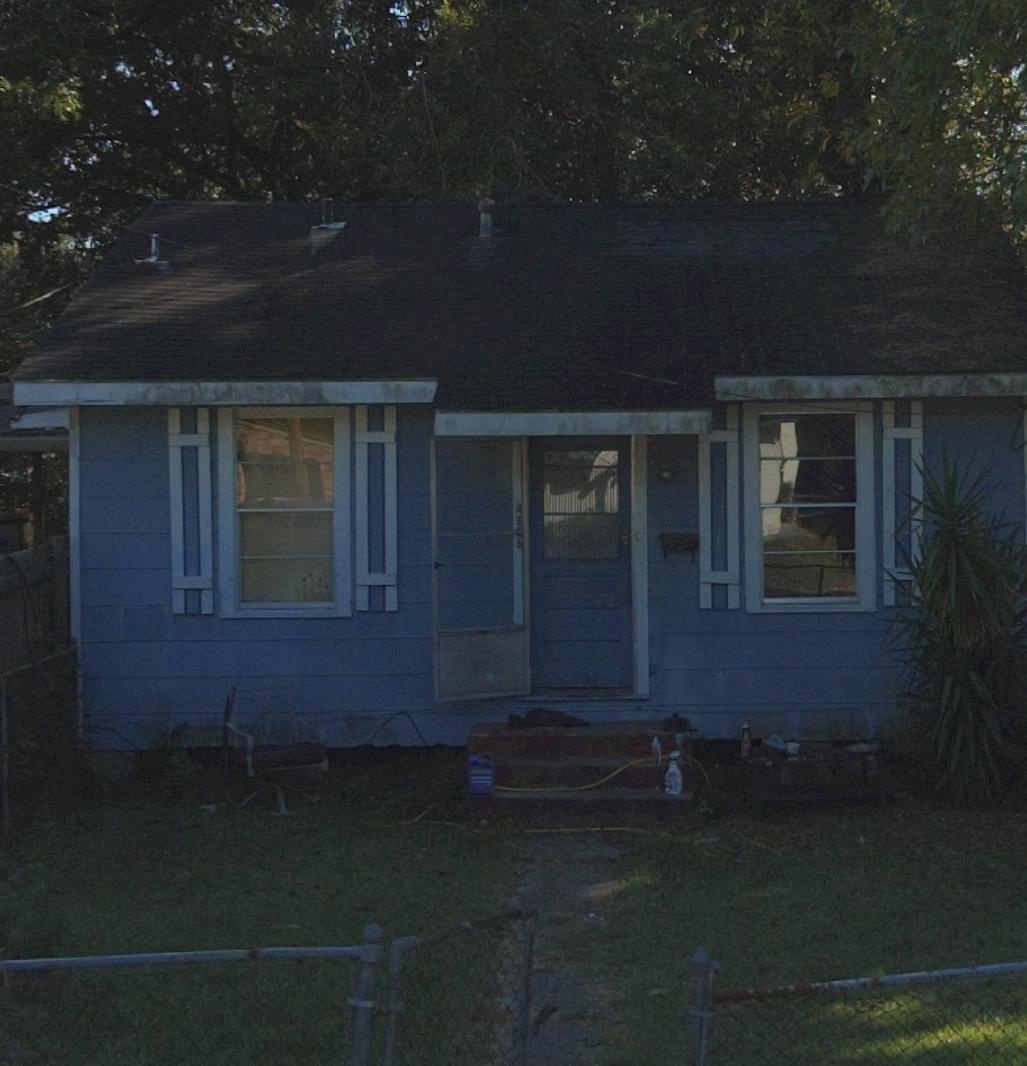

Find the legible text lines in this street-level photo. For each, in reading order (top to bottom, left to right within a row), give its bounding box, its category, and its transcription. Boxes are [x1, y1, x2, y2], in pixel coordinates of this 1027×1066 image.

[515, 503, 525, 550] StreetNumber: 48*6